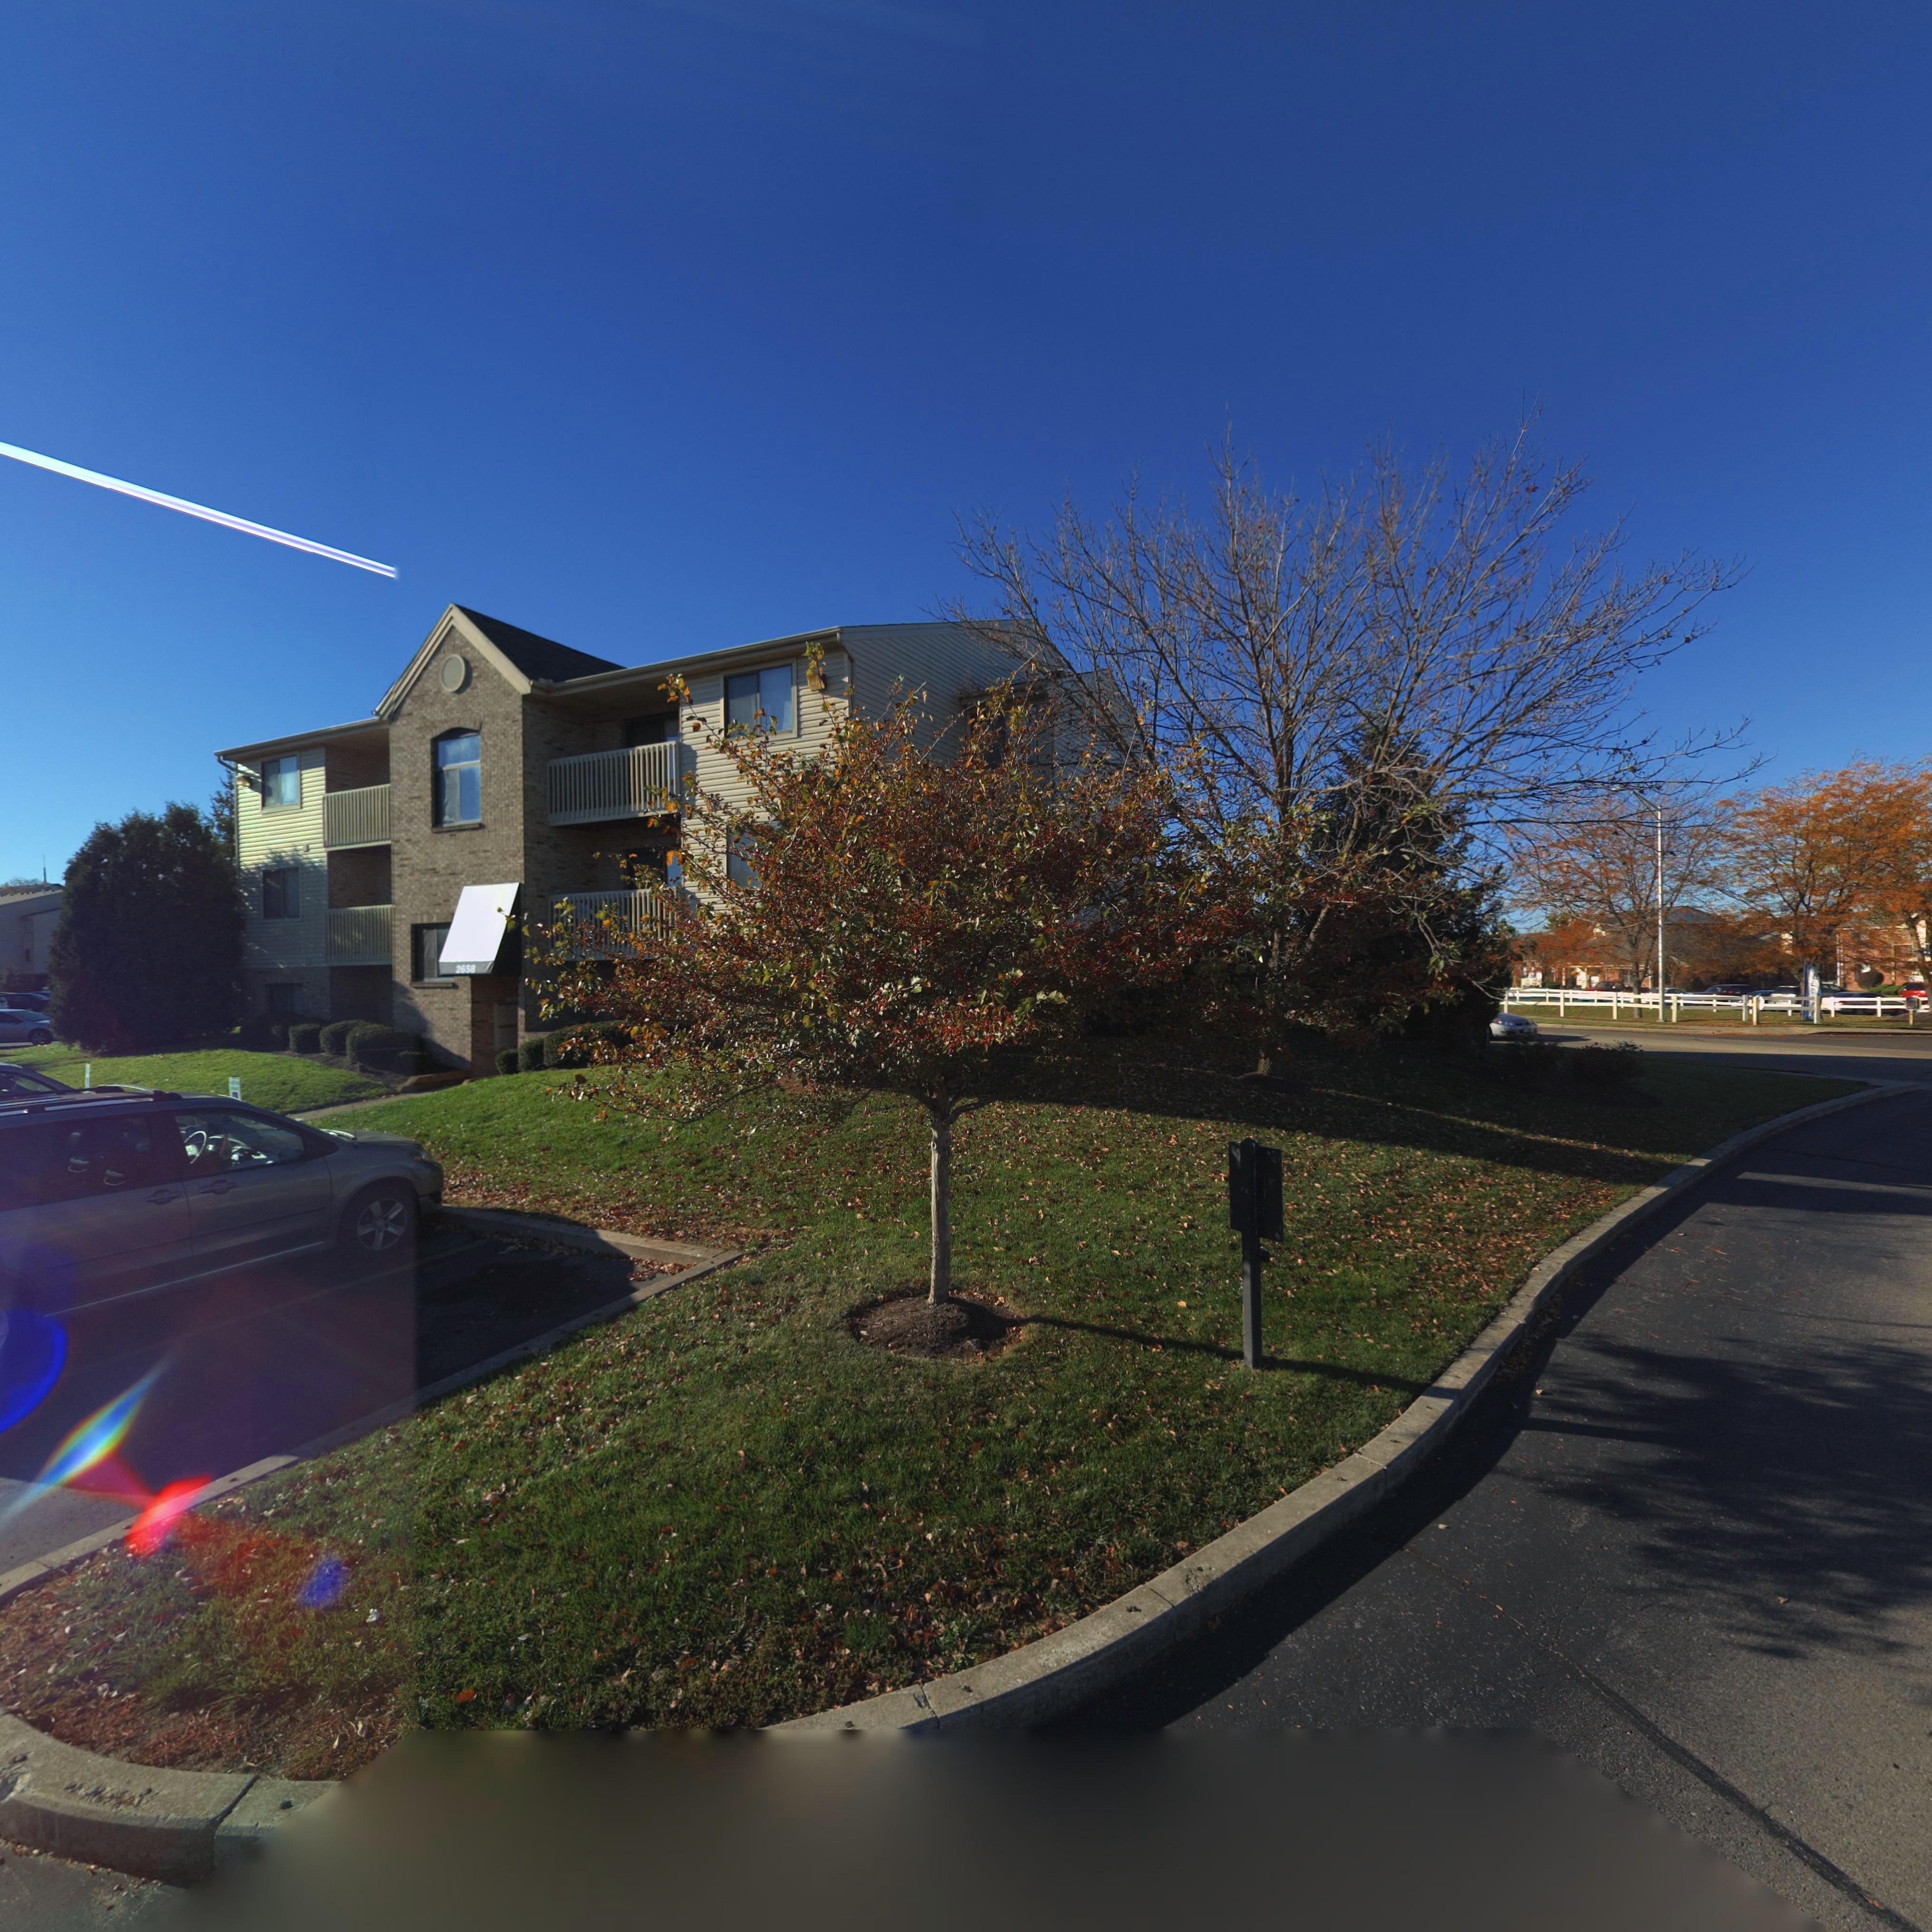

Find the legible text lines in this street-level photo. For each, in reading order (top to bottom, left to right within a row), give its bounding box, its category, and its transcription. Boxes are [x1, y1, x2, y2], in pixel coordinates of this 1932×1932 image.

[455, 963, 476, 975] StreetNumber: 2658